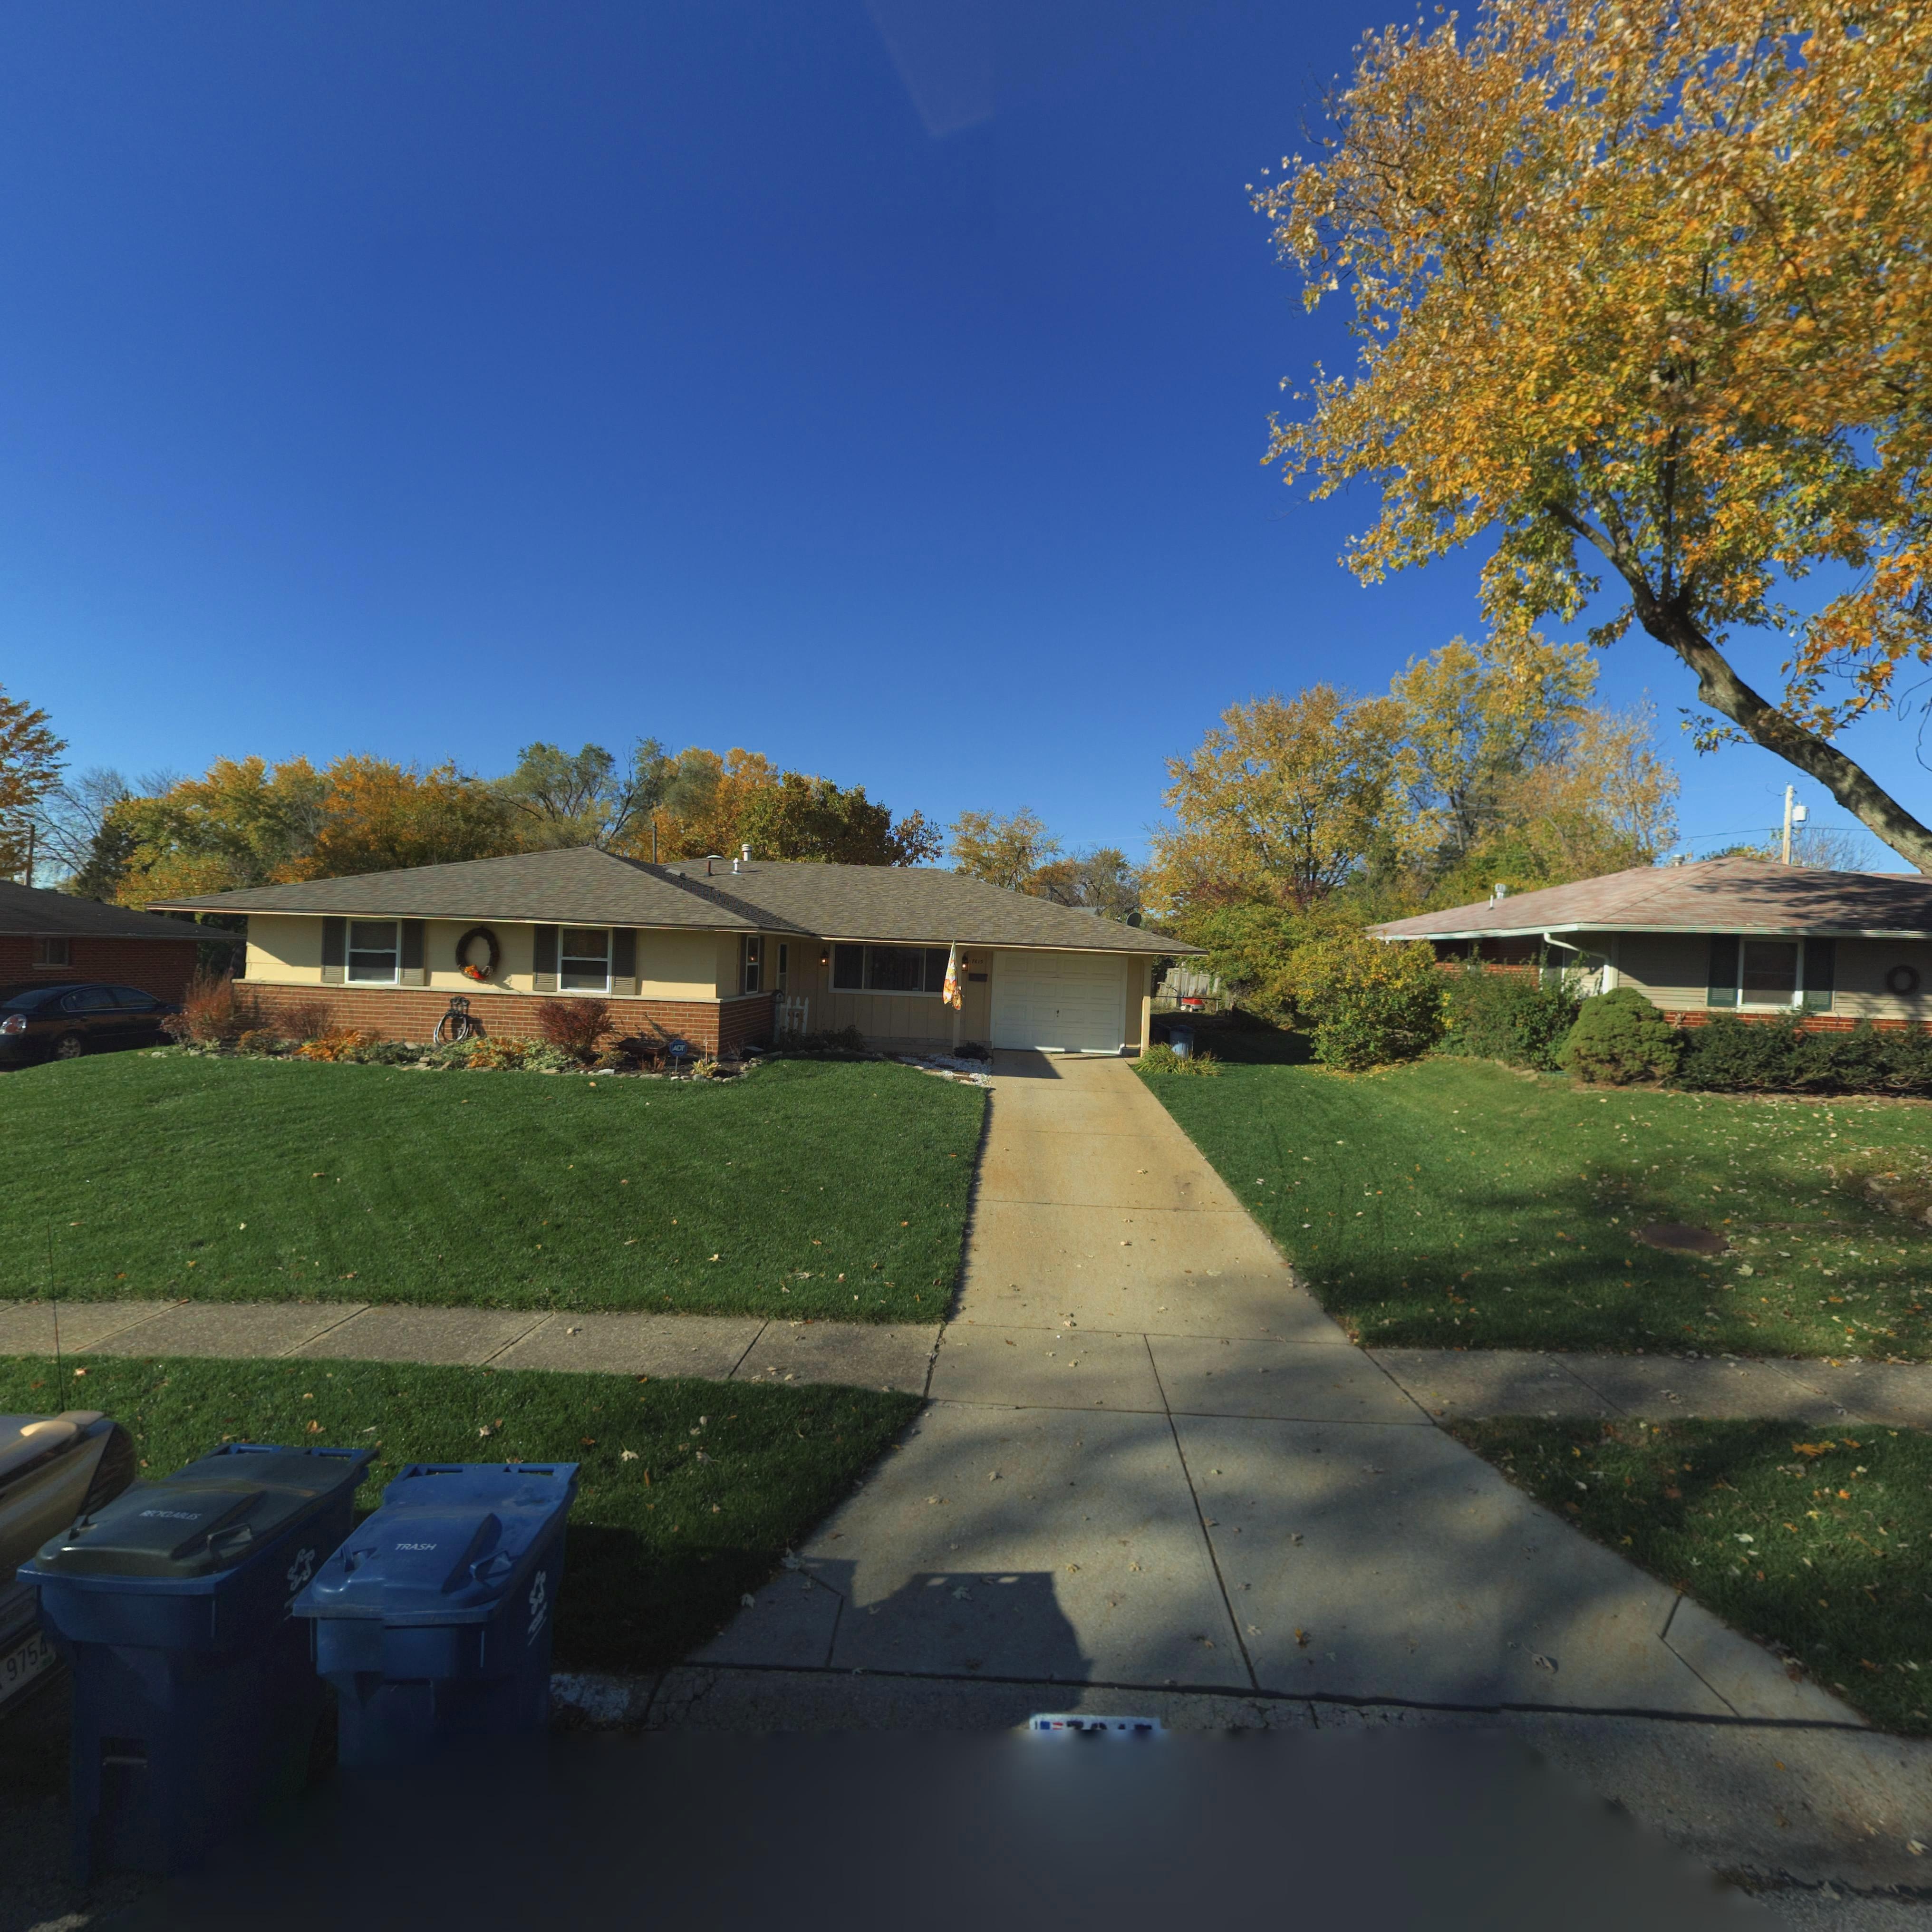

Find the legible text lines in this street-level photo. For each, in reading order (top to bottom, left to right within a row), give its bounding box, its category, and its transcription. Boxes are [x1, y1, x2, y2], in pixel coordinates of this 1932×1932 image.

[971, 958, 984, 965] StreetNumber: 7615